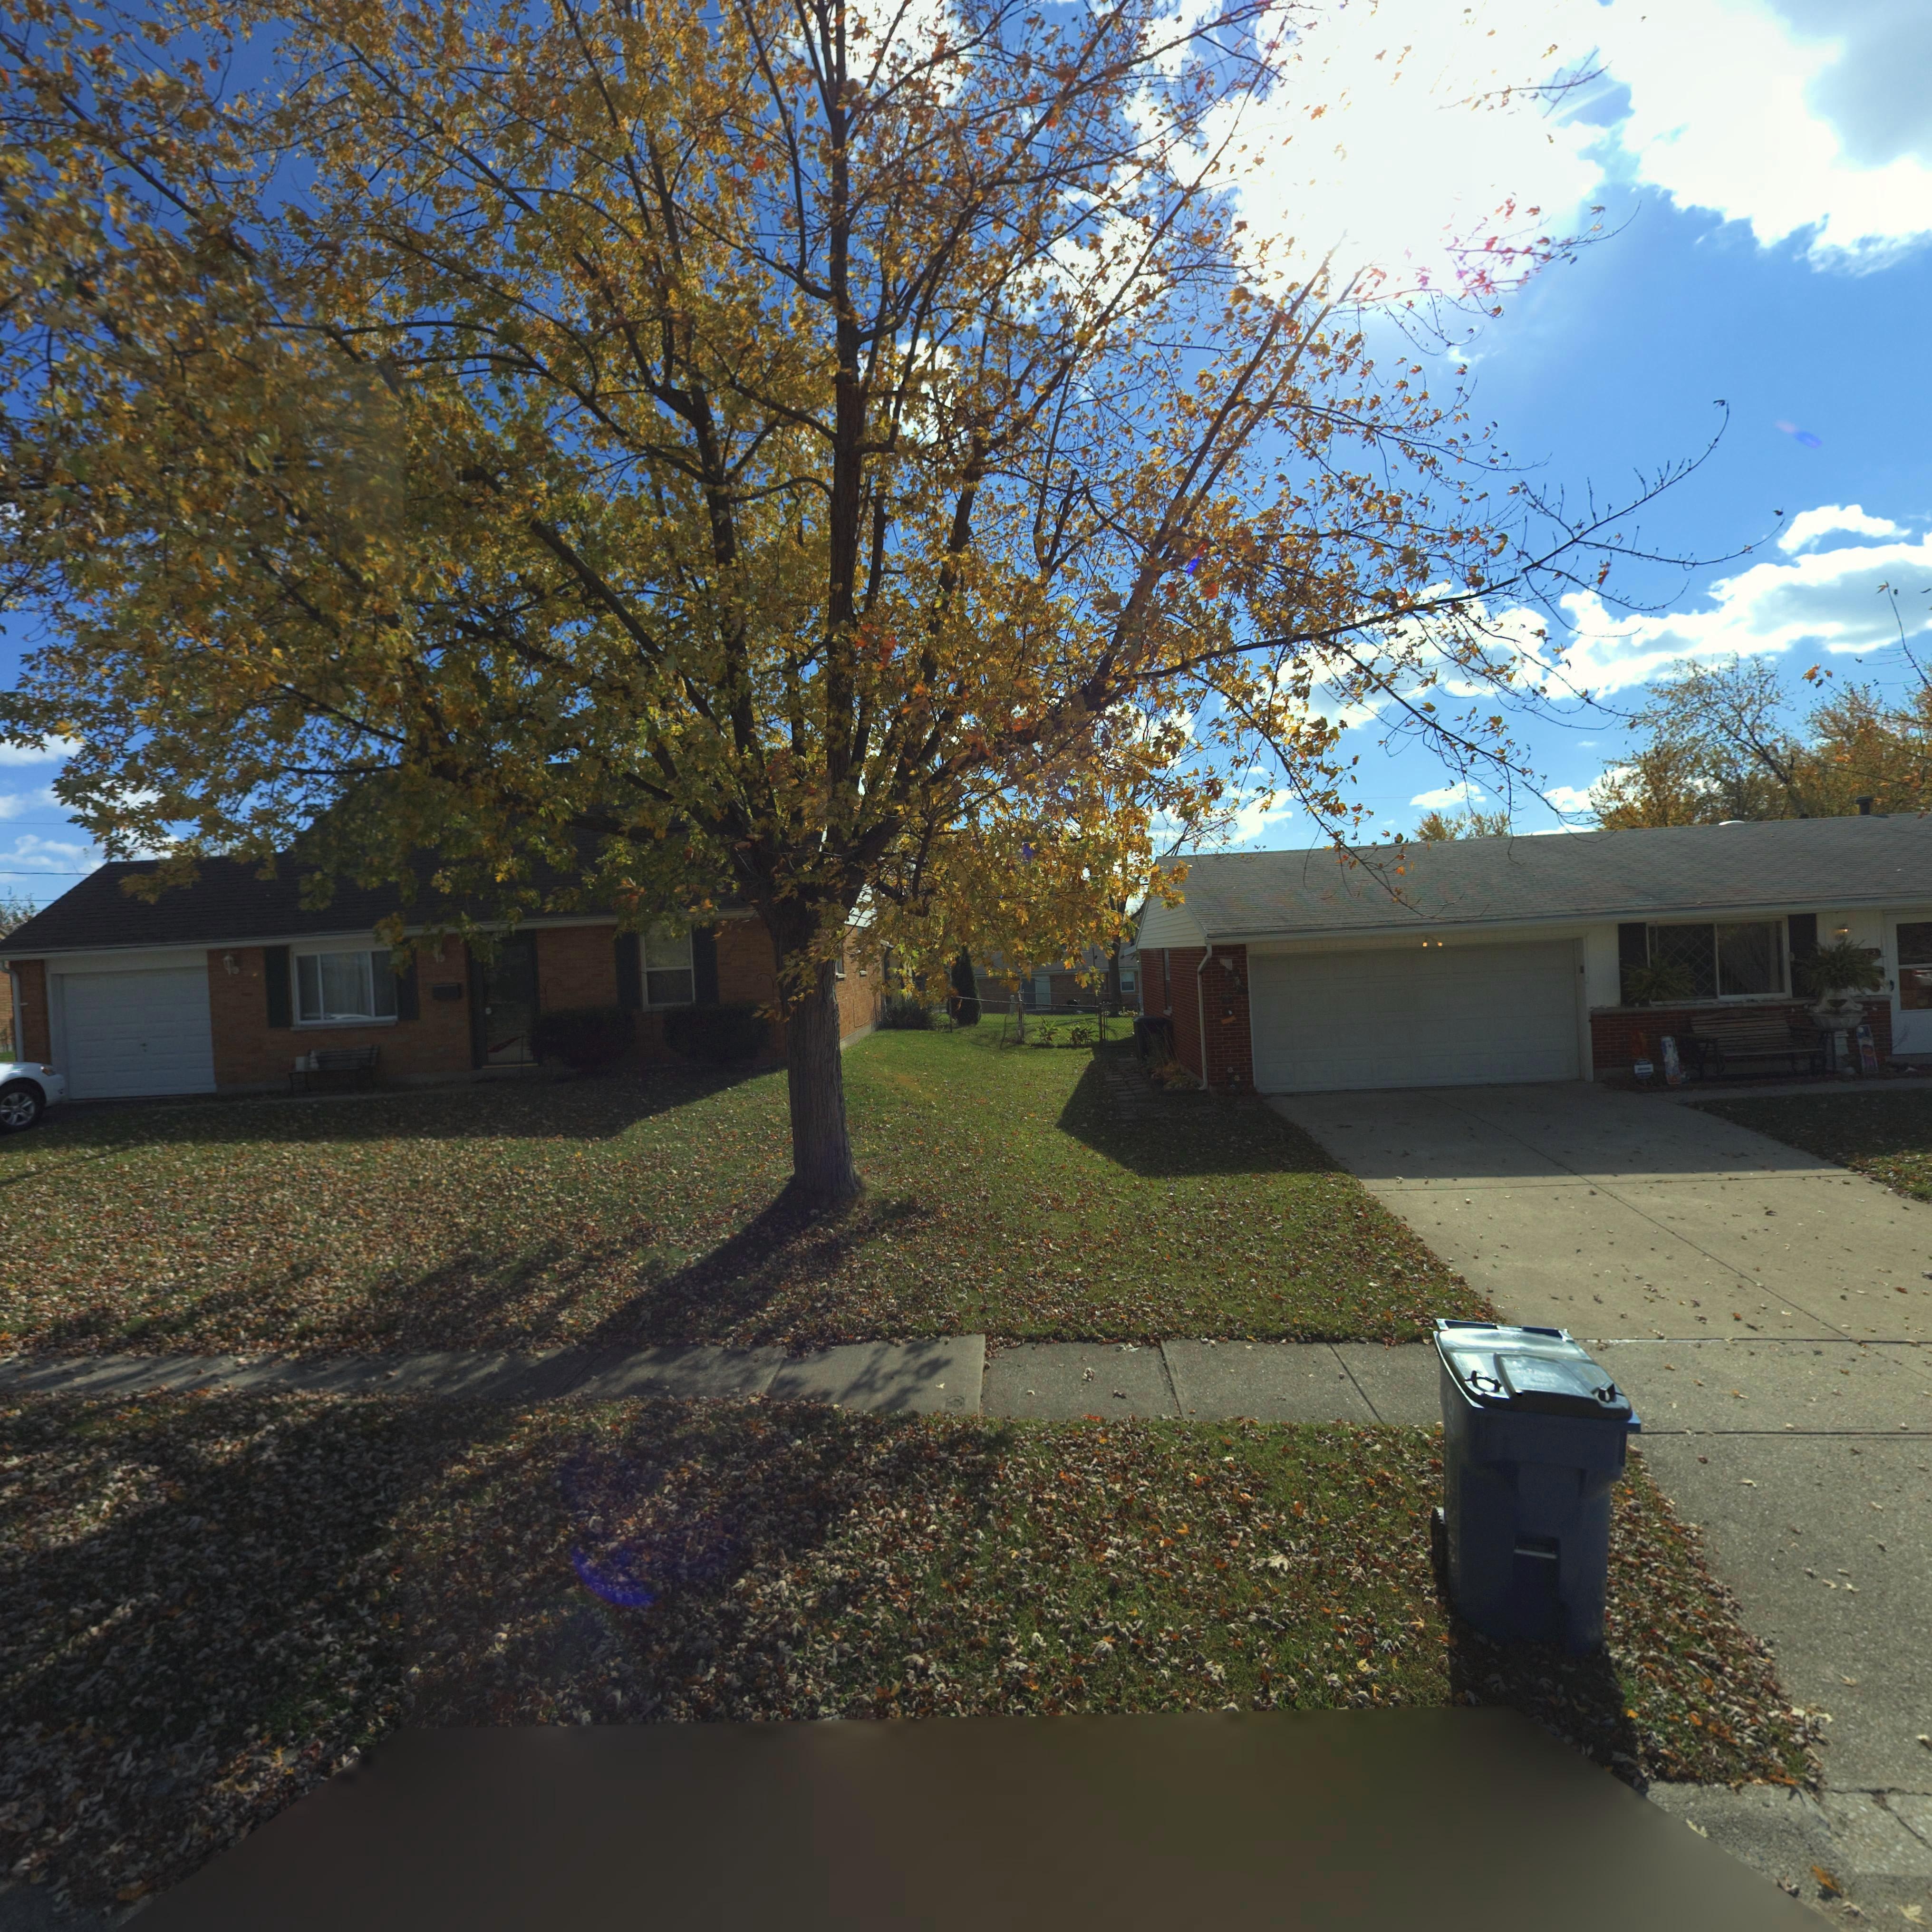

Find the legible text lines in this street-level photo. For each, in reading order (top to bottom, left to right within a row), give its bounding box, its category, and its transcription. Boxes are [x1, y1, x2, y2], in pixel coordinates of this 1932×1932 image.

[497, 931, 506, 937] StreetNumber: 74
[1870, 950, 1877, 958] StreetNumber: 2